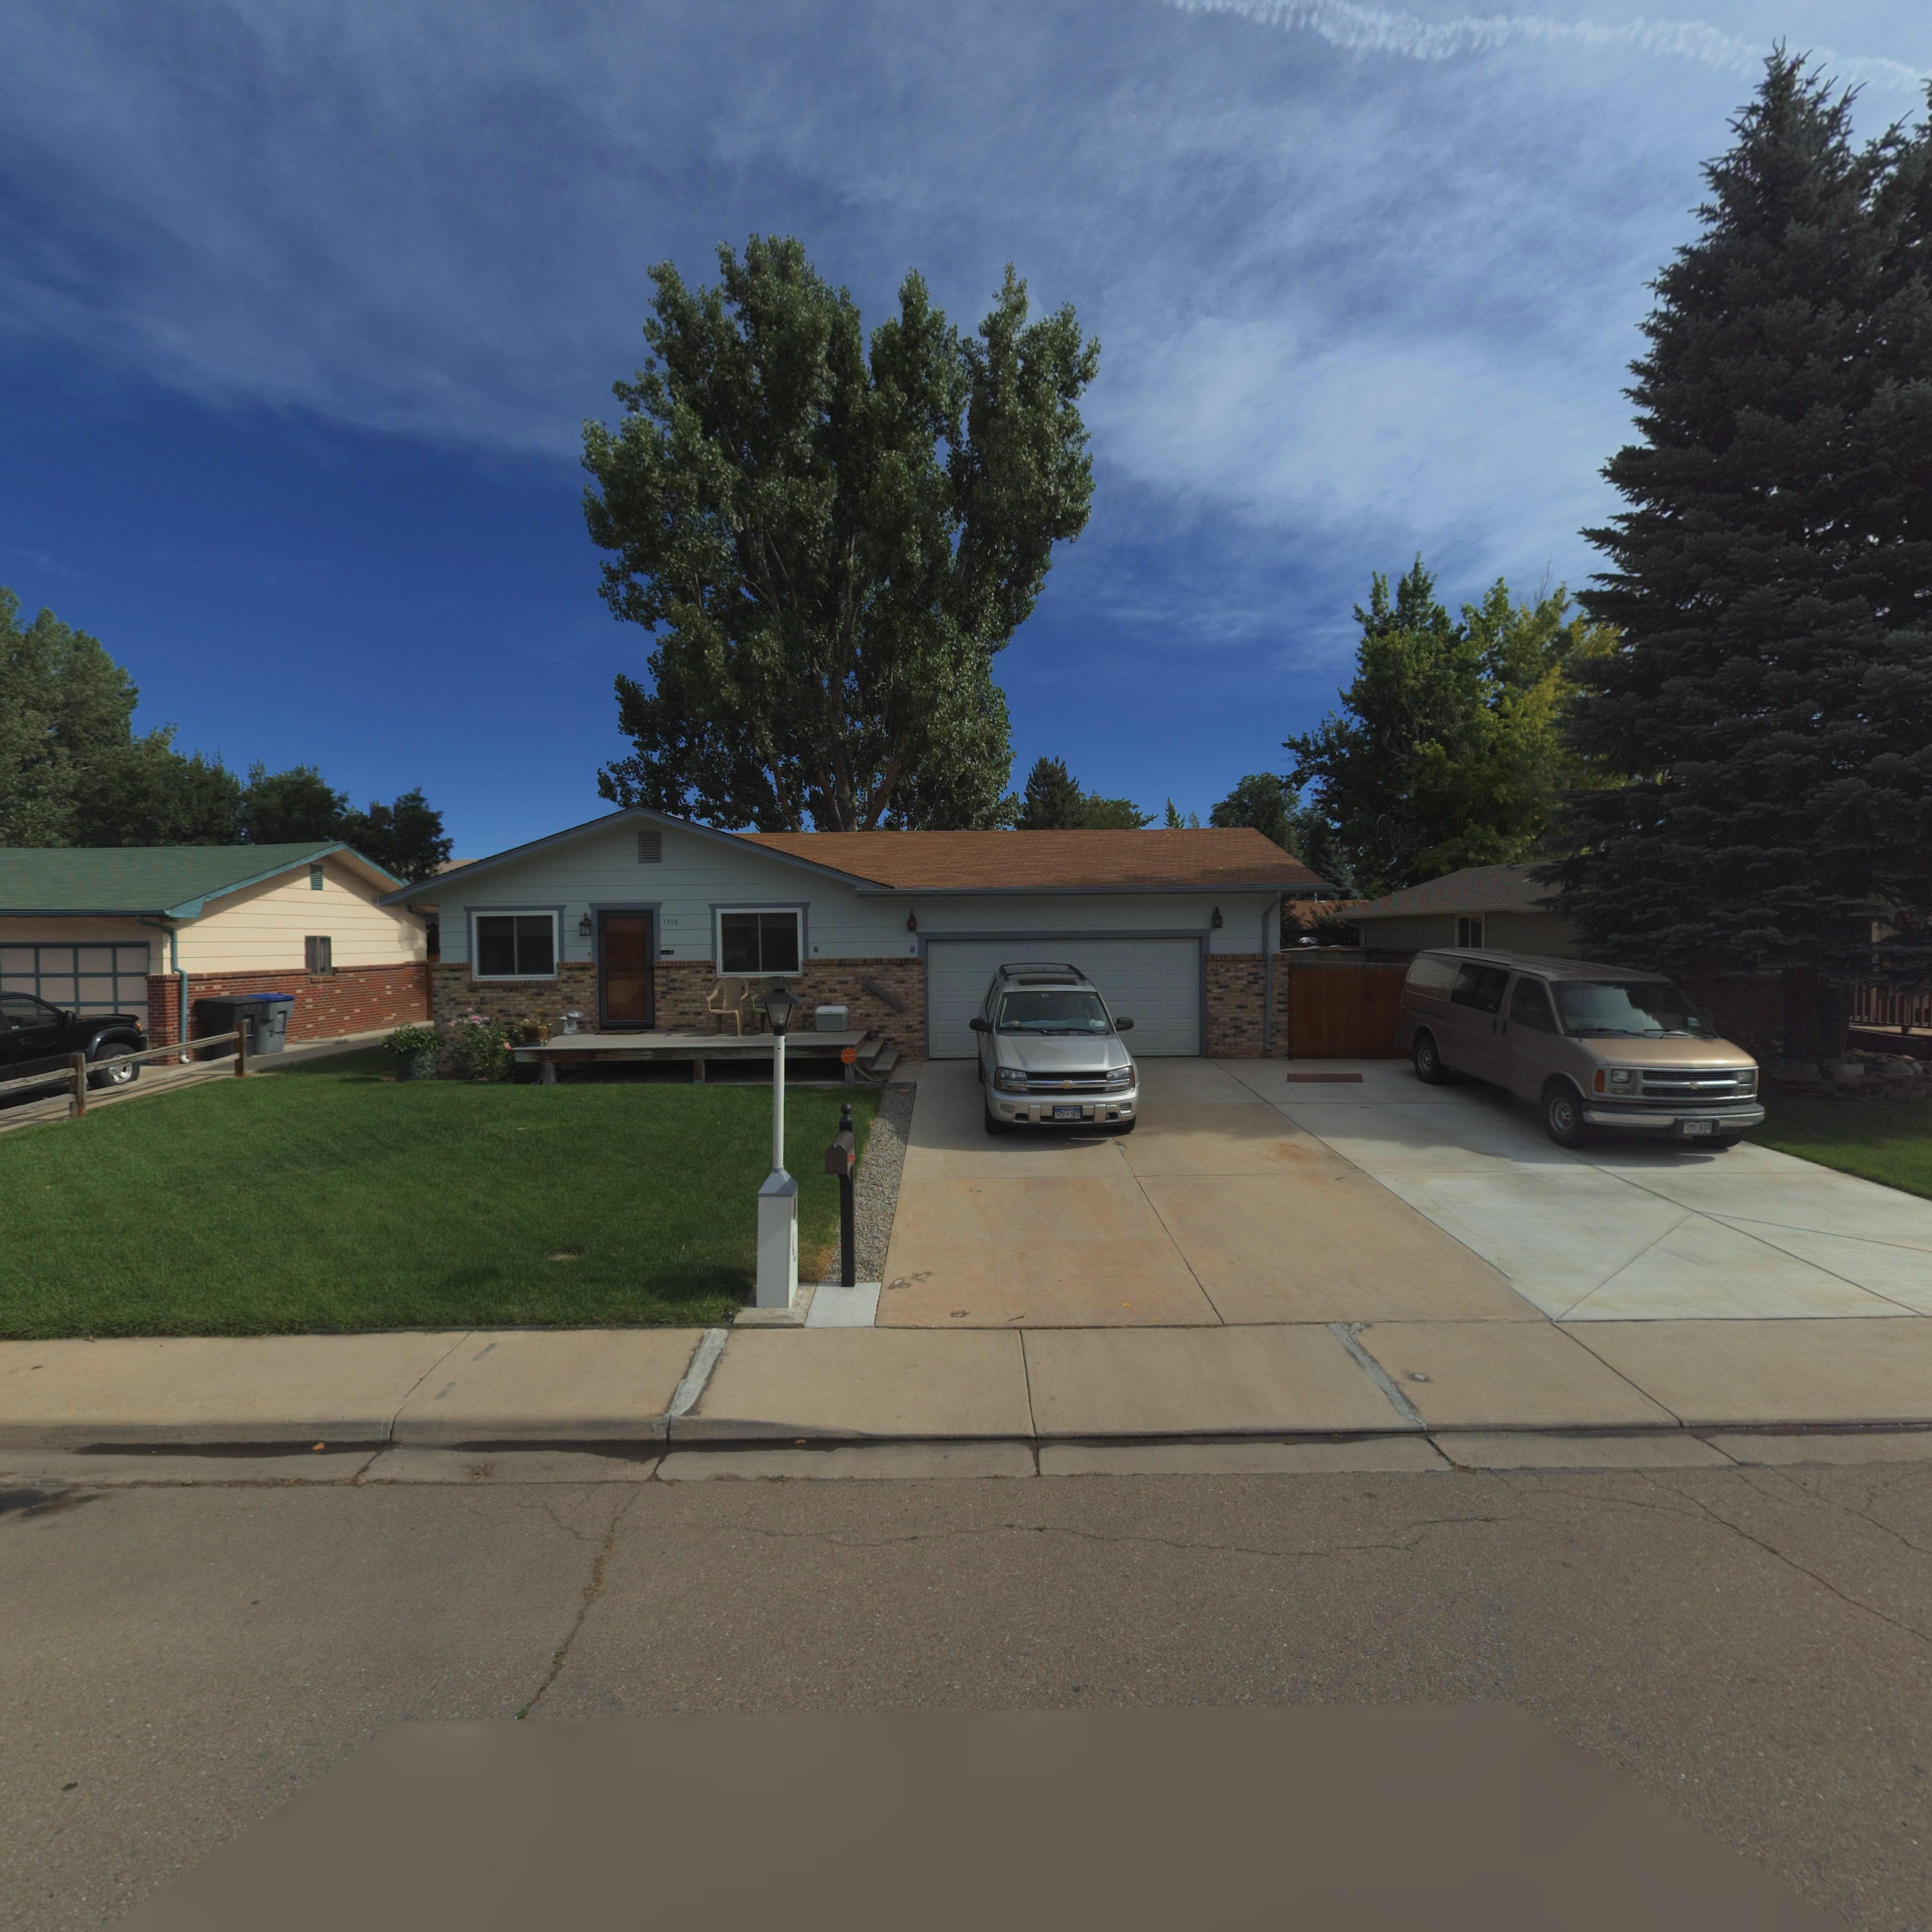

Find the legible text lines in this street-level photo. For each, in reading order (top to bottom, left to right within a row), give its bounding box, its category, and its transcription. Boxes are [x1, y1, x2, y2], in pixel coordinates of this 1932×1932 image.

[663, 917, 679, 926] StreetNumber: 1316